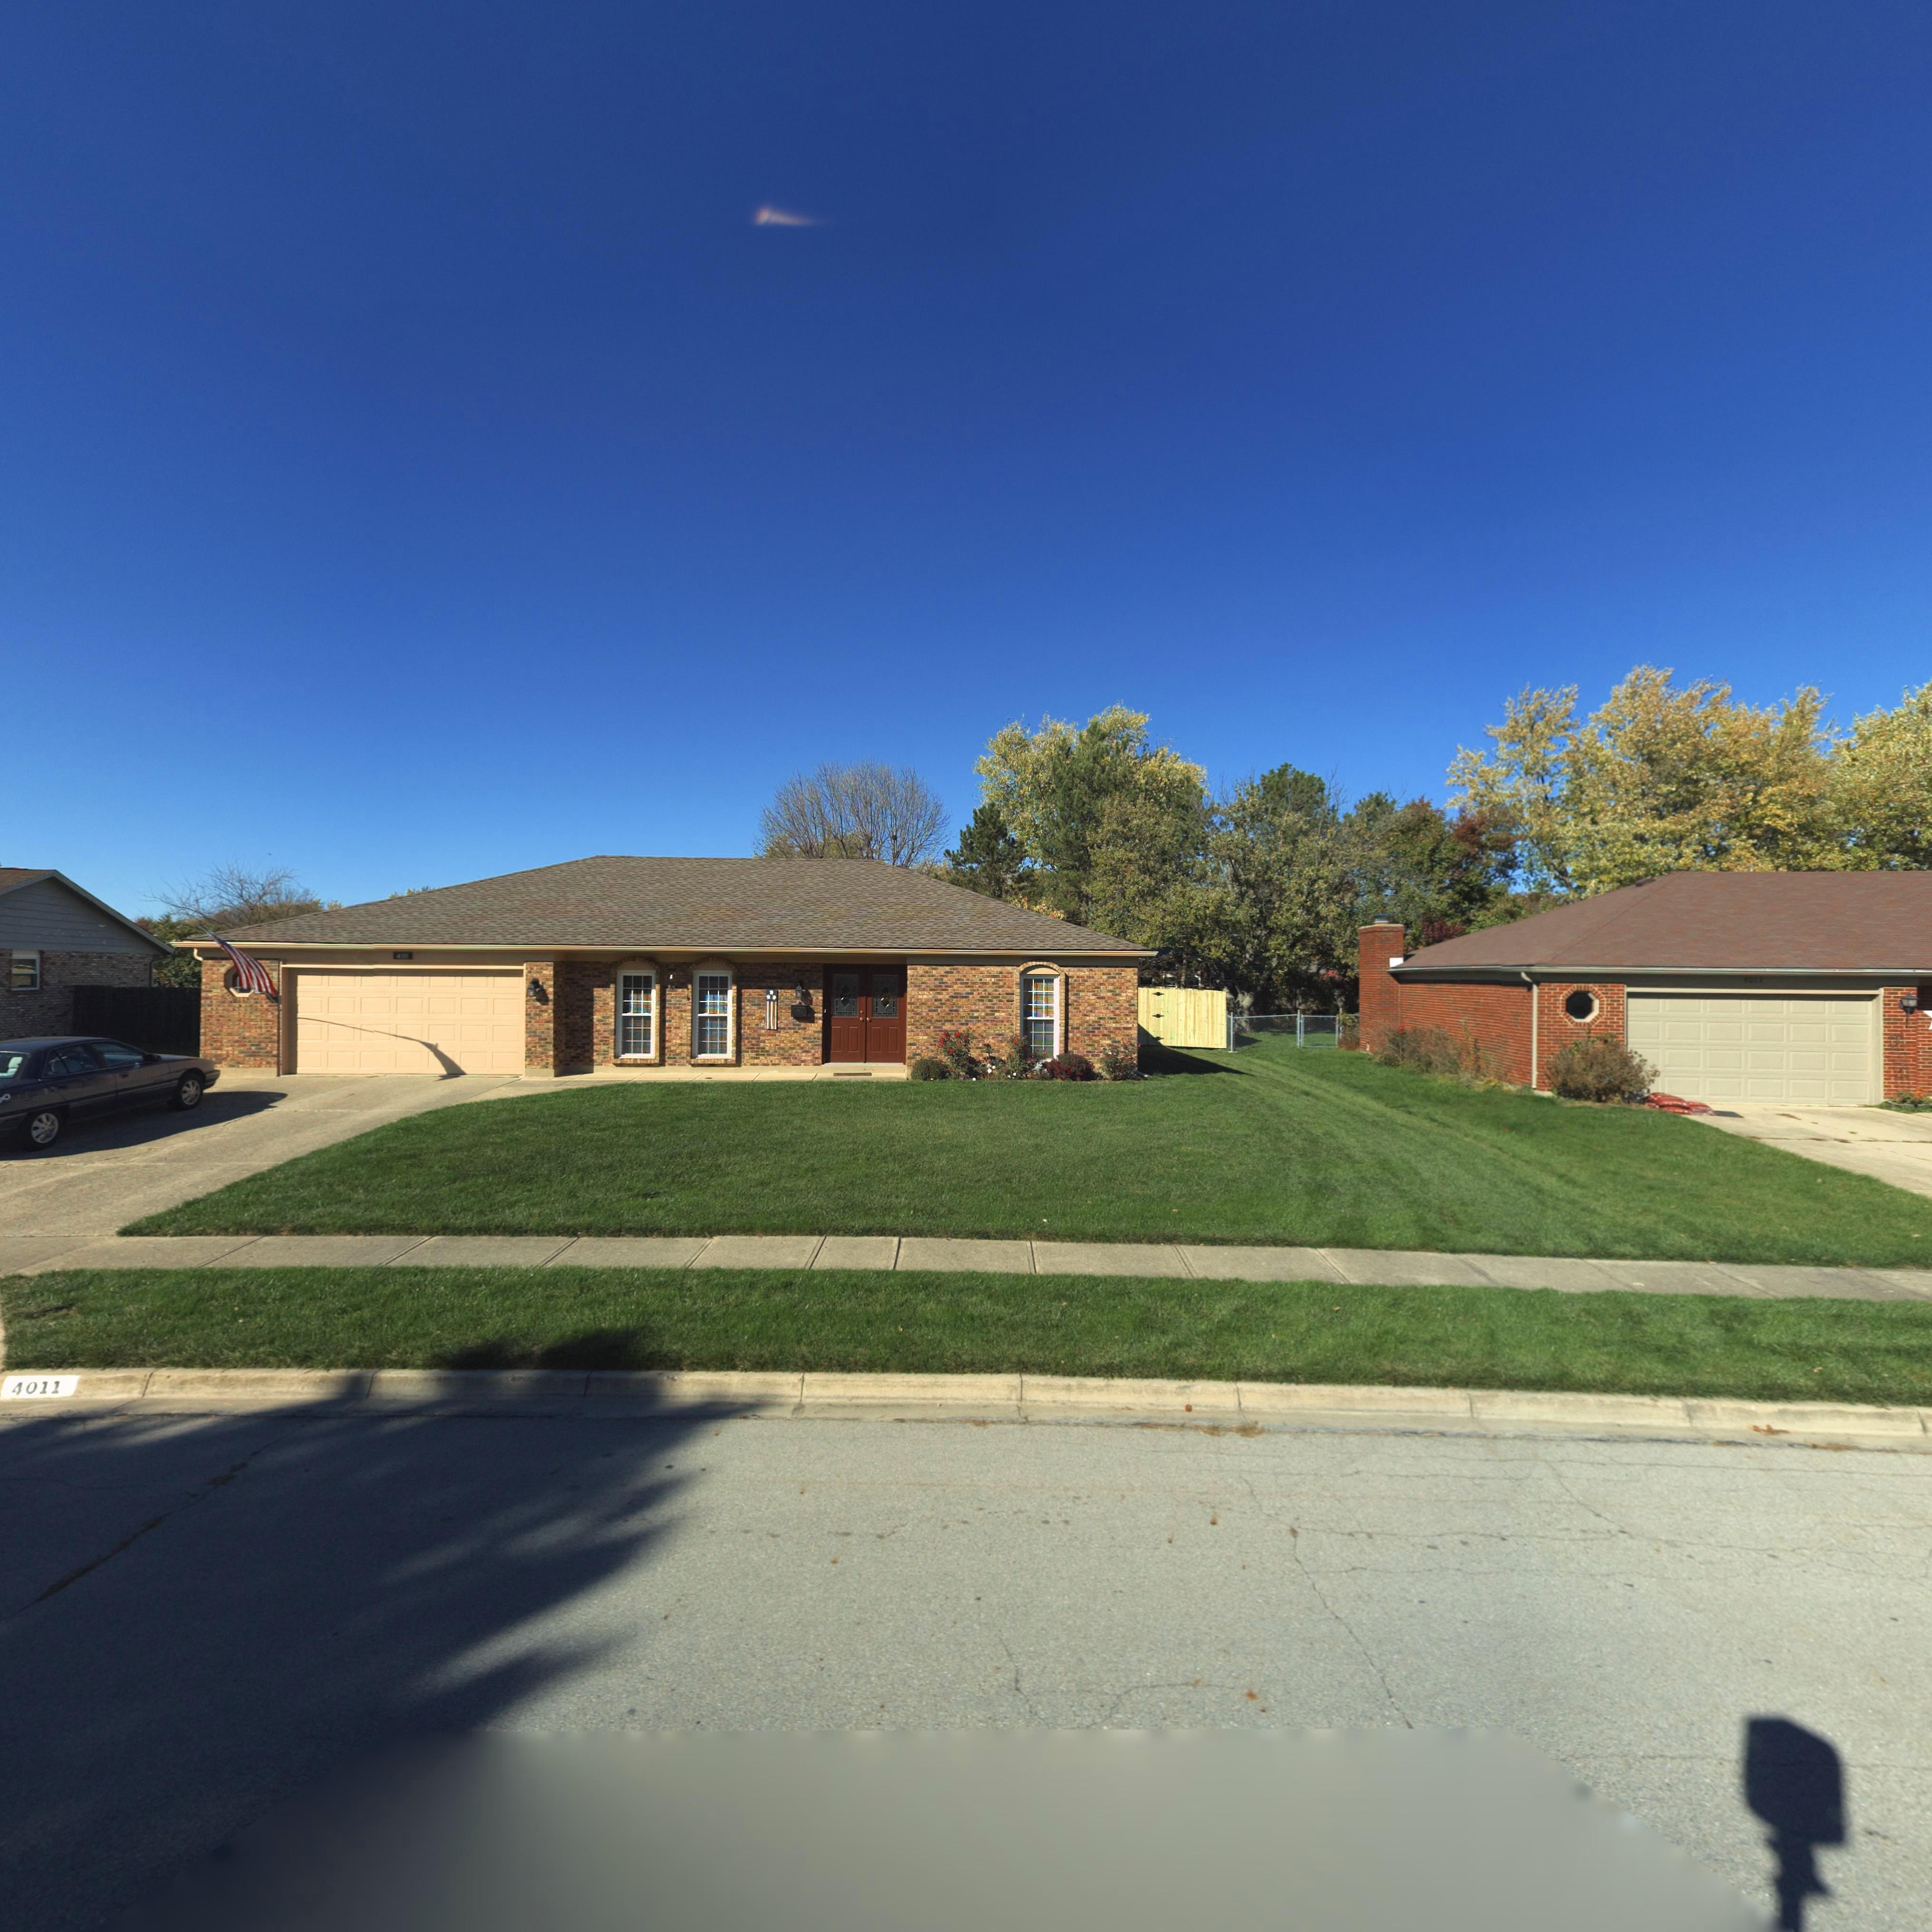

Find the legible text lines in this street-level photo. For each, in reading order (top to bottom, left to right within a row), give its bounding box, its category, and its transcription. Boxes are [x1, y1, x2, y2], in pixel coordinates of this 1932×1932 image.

[396, 953, 409, 959] StreetNumber: 4011
[1744, 976, 1763, 984] StreetNumber: 4013
[11, 1380, 61, 1396] StreetNumber: 4011